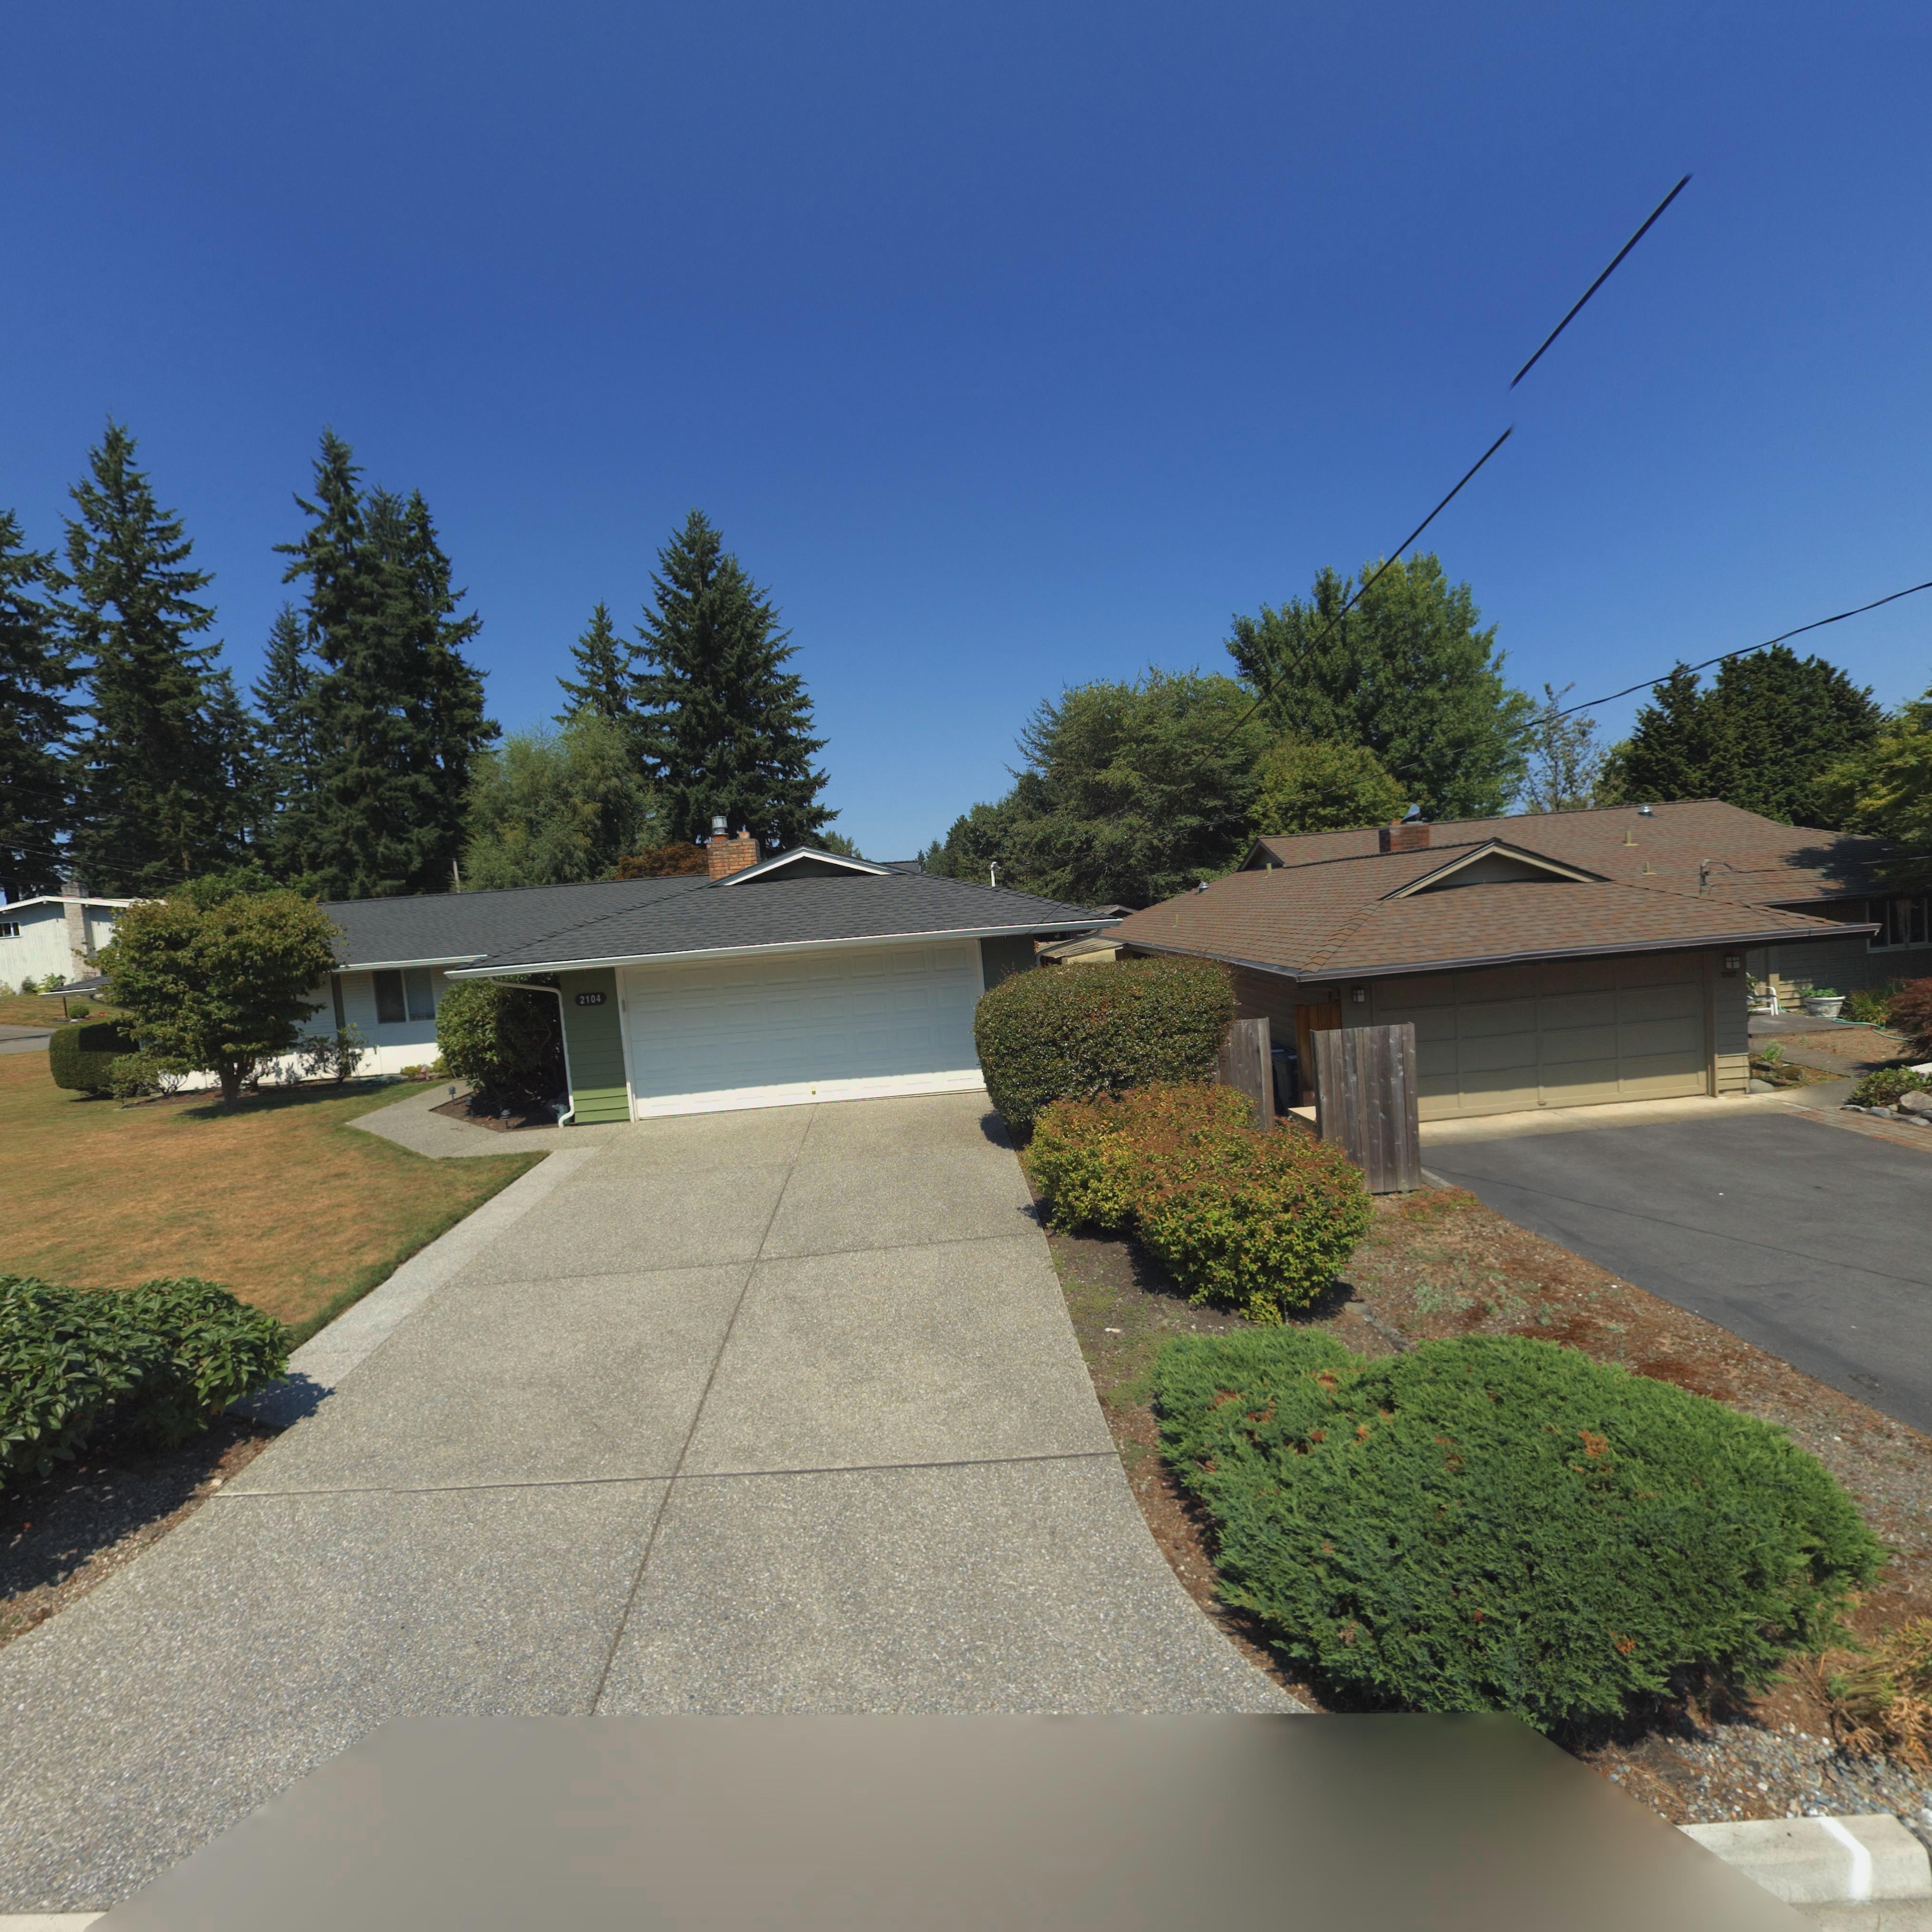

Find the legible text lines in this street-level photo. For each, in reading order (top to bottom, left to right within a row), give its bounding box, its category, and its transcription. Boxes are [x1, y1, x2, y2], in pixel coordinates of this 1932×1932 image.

[579, 993, 601, 1005] StreetNumber: 2104